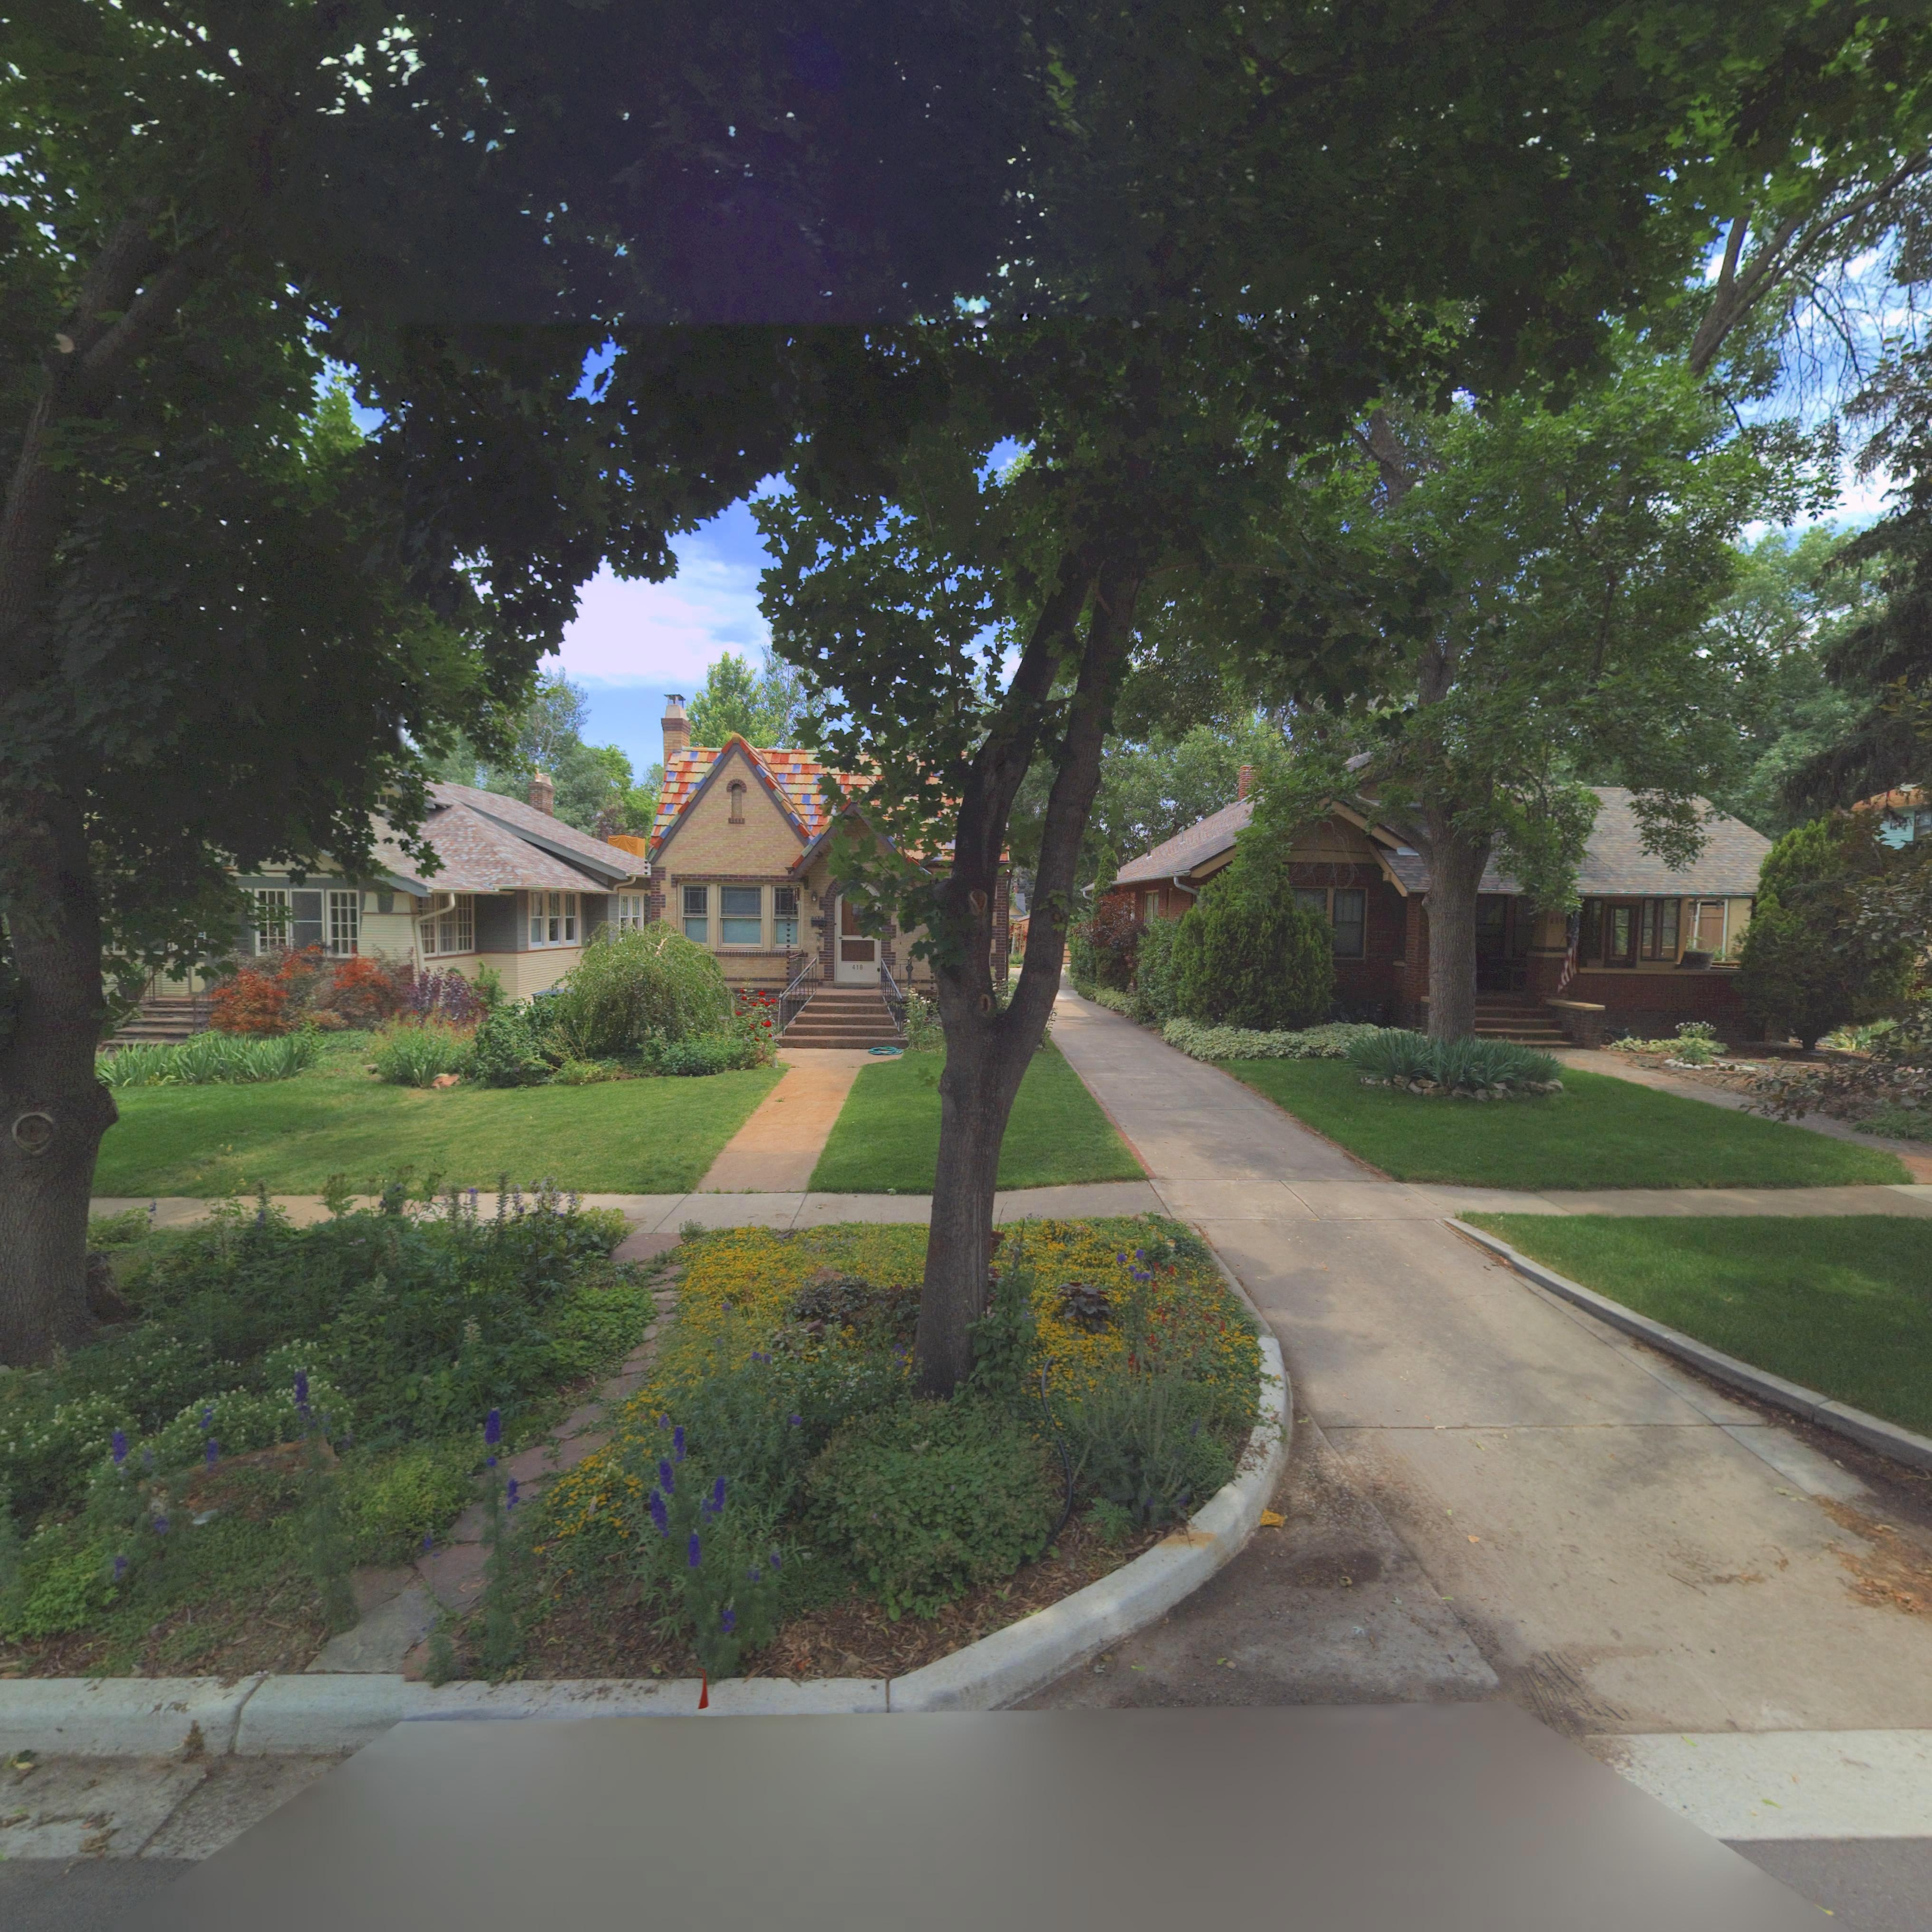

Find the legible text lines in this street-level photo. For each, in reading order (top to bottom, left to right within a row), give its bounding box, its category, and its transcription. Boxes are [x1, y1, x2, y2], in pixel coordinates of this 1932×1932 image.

[1547, 916, 1565, 925] StreetNumber: 416
[851, 964, 863, 970] StreetNumber: 418